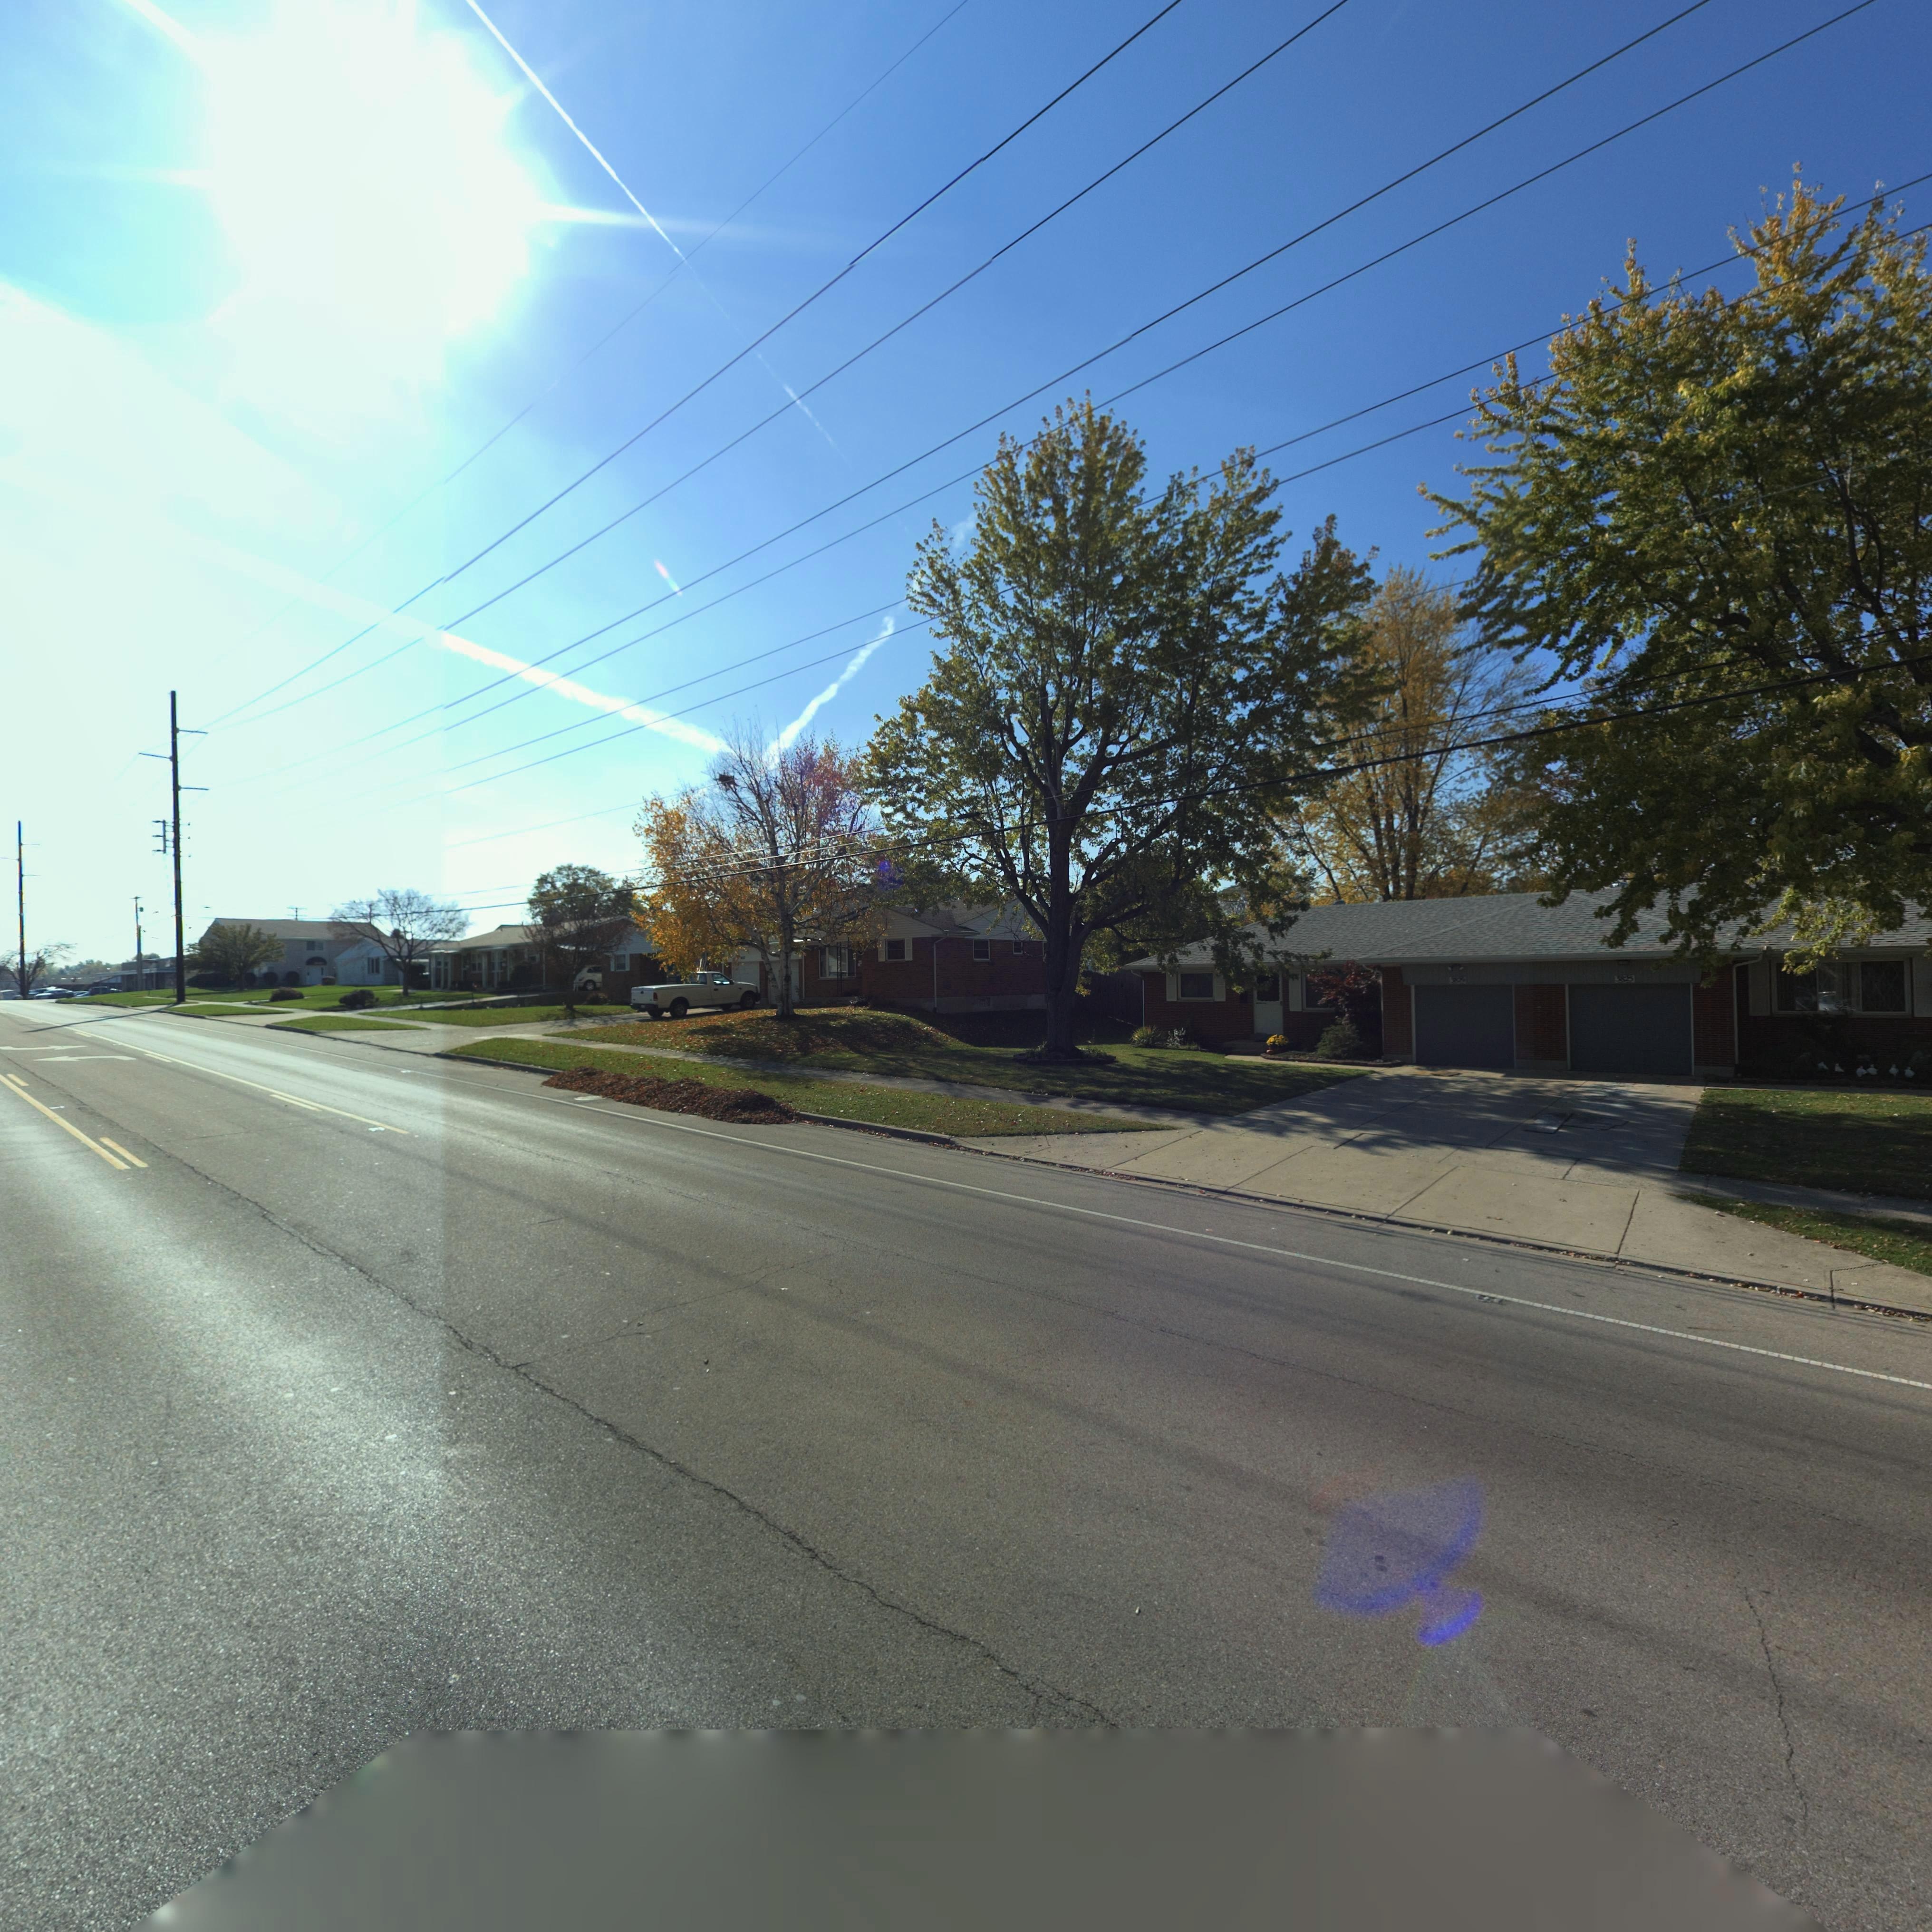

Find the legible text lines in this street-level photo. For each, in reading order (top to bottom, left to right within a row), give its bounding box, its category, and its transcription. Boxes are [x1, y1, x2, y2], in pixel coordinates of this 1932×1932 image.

[1449, 976, 1467, 984] StreetNumber: 3829
[1615, 975, 1634, 983] StreetNumber: 3825